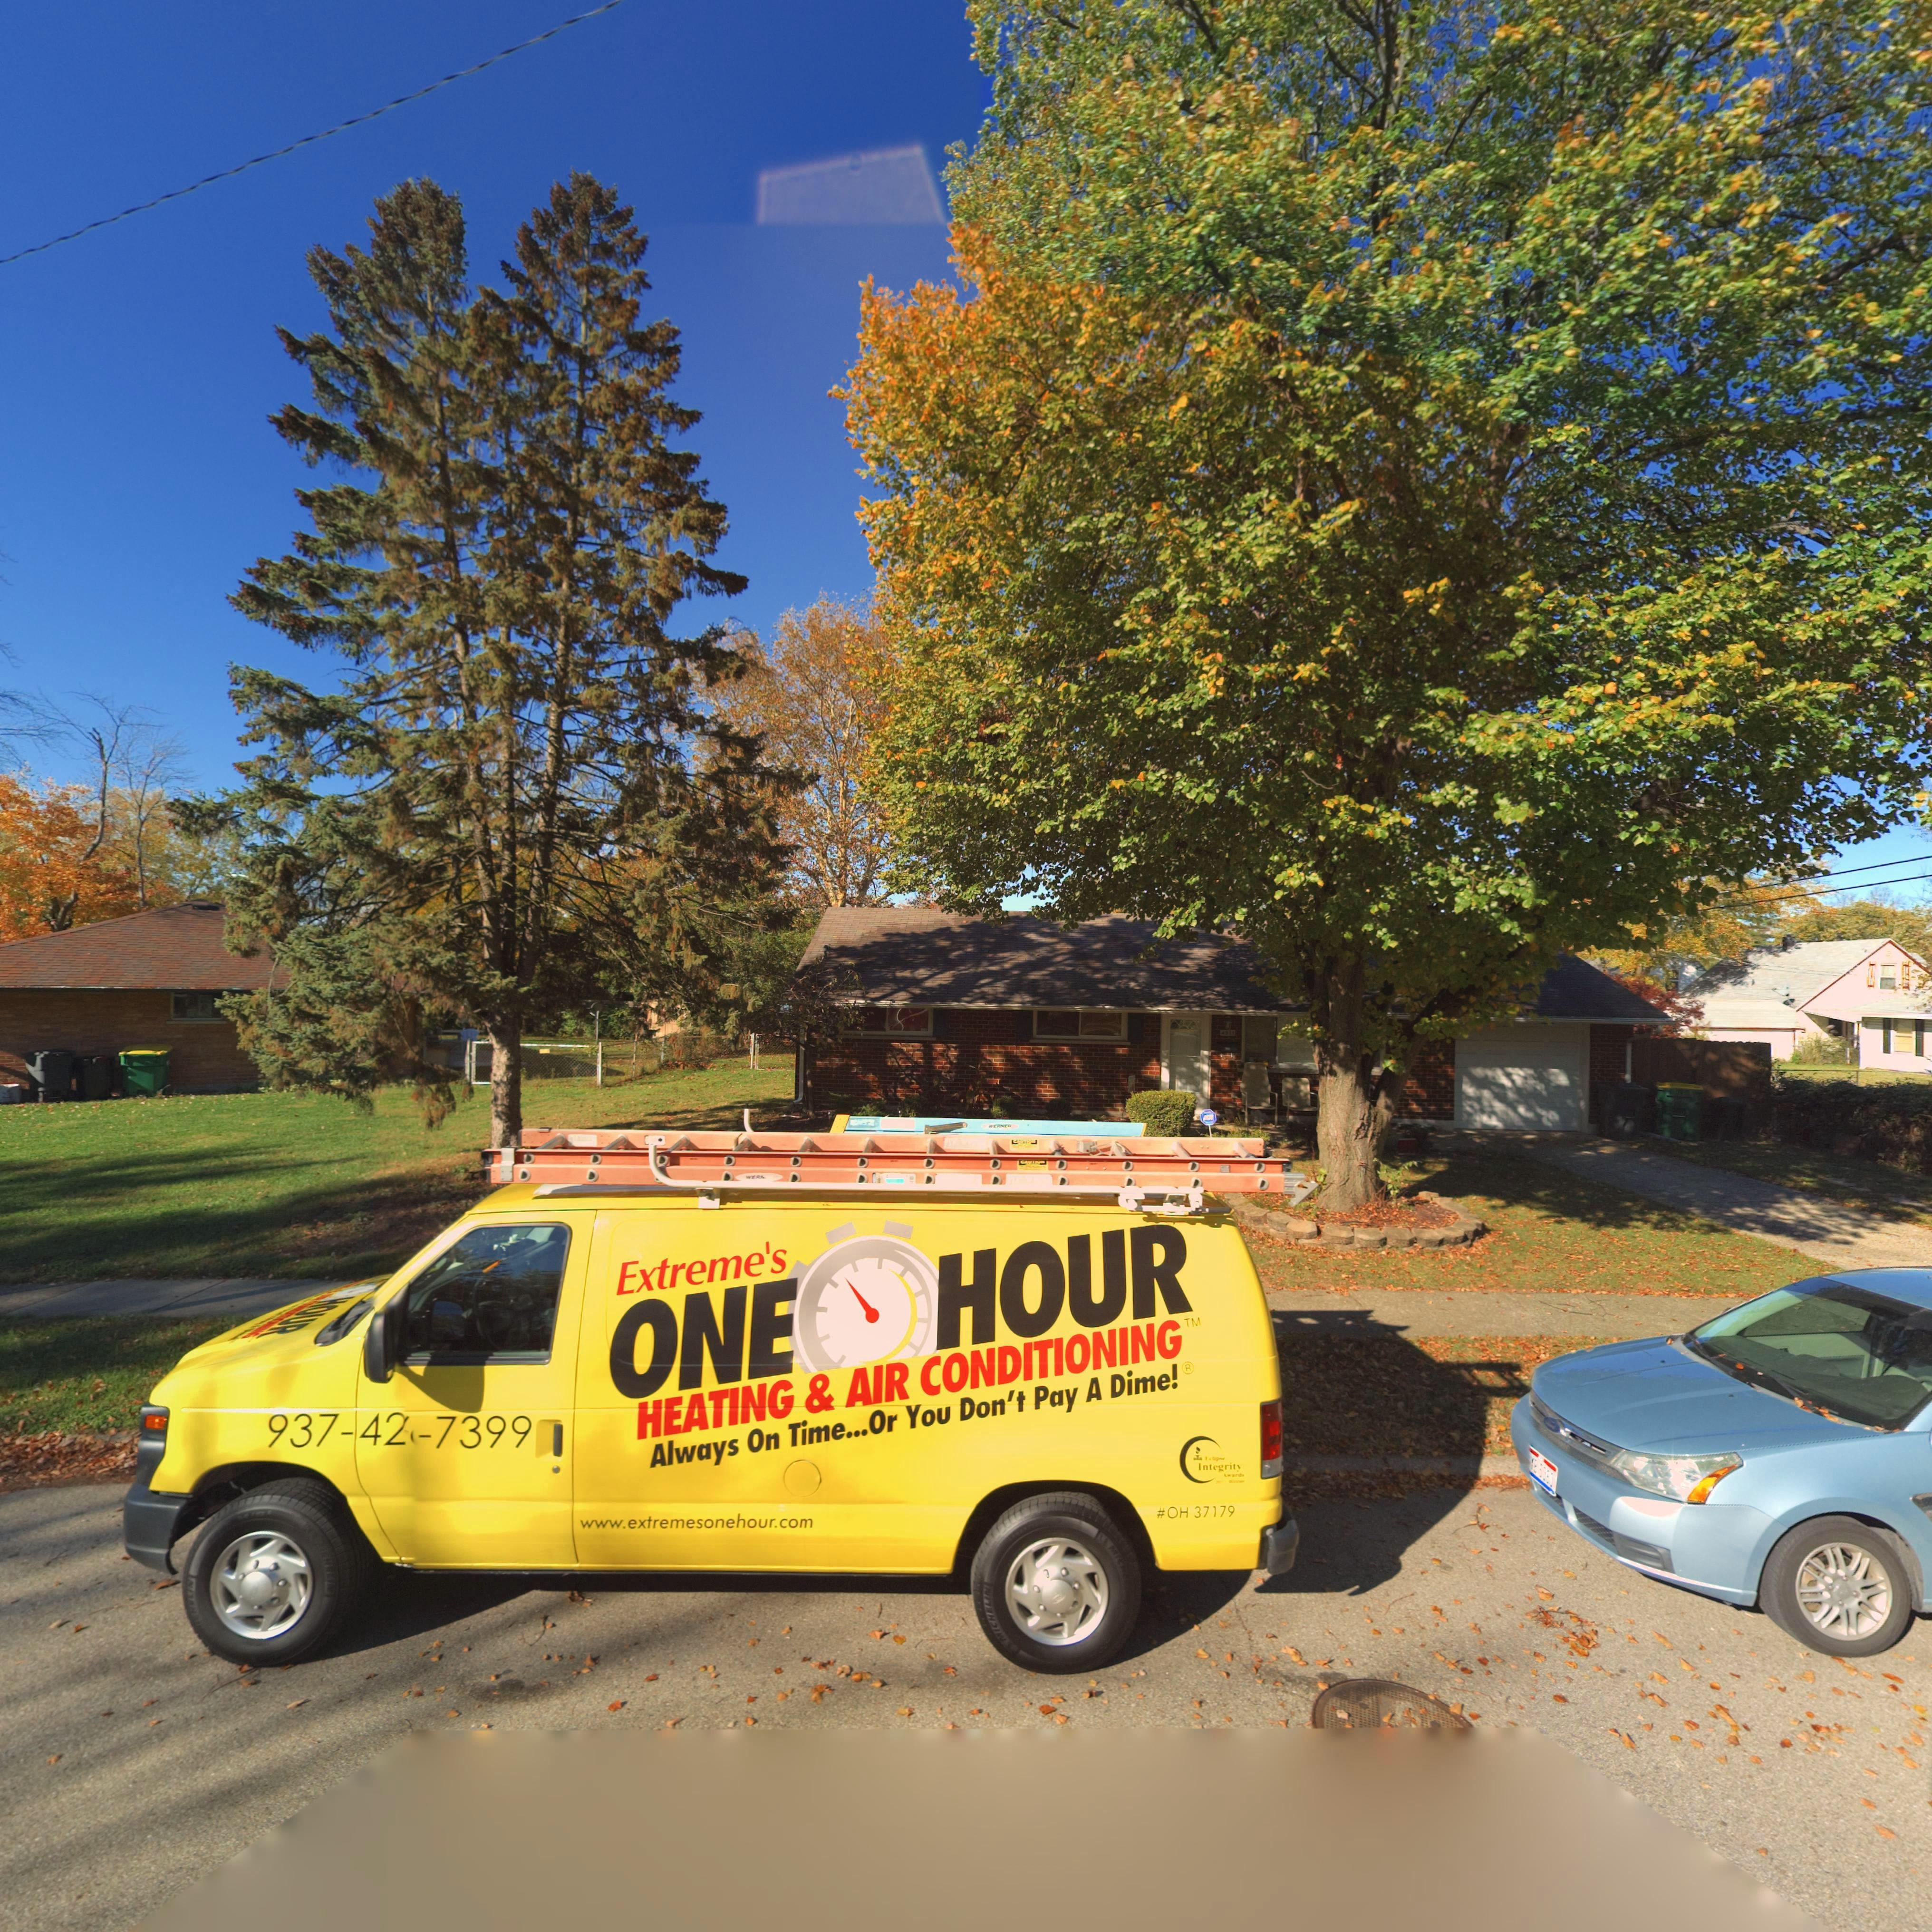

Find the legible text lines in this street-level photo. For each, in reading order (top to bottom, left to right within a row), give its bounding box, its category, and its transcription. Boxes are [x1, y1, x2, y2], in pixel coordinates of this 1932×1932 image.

[1220, 1029, 1235, 1036] StreetNumber: 4911